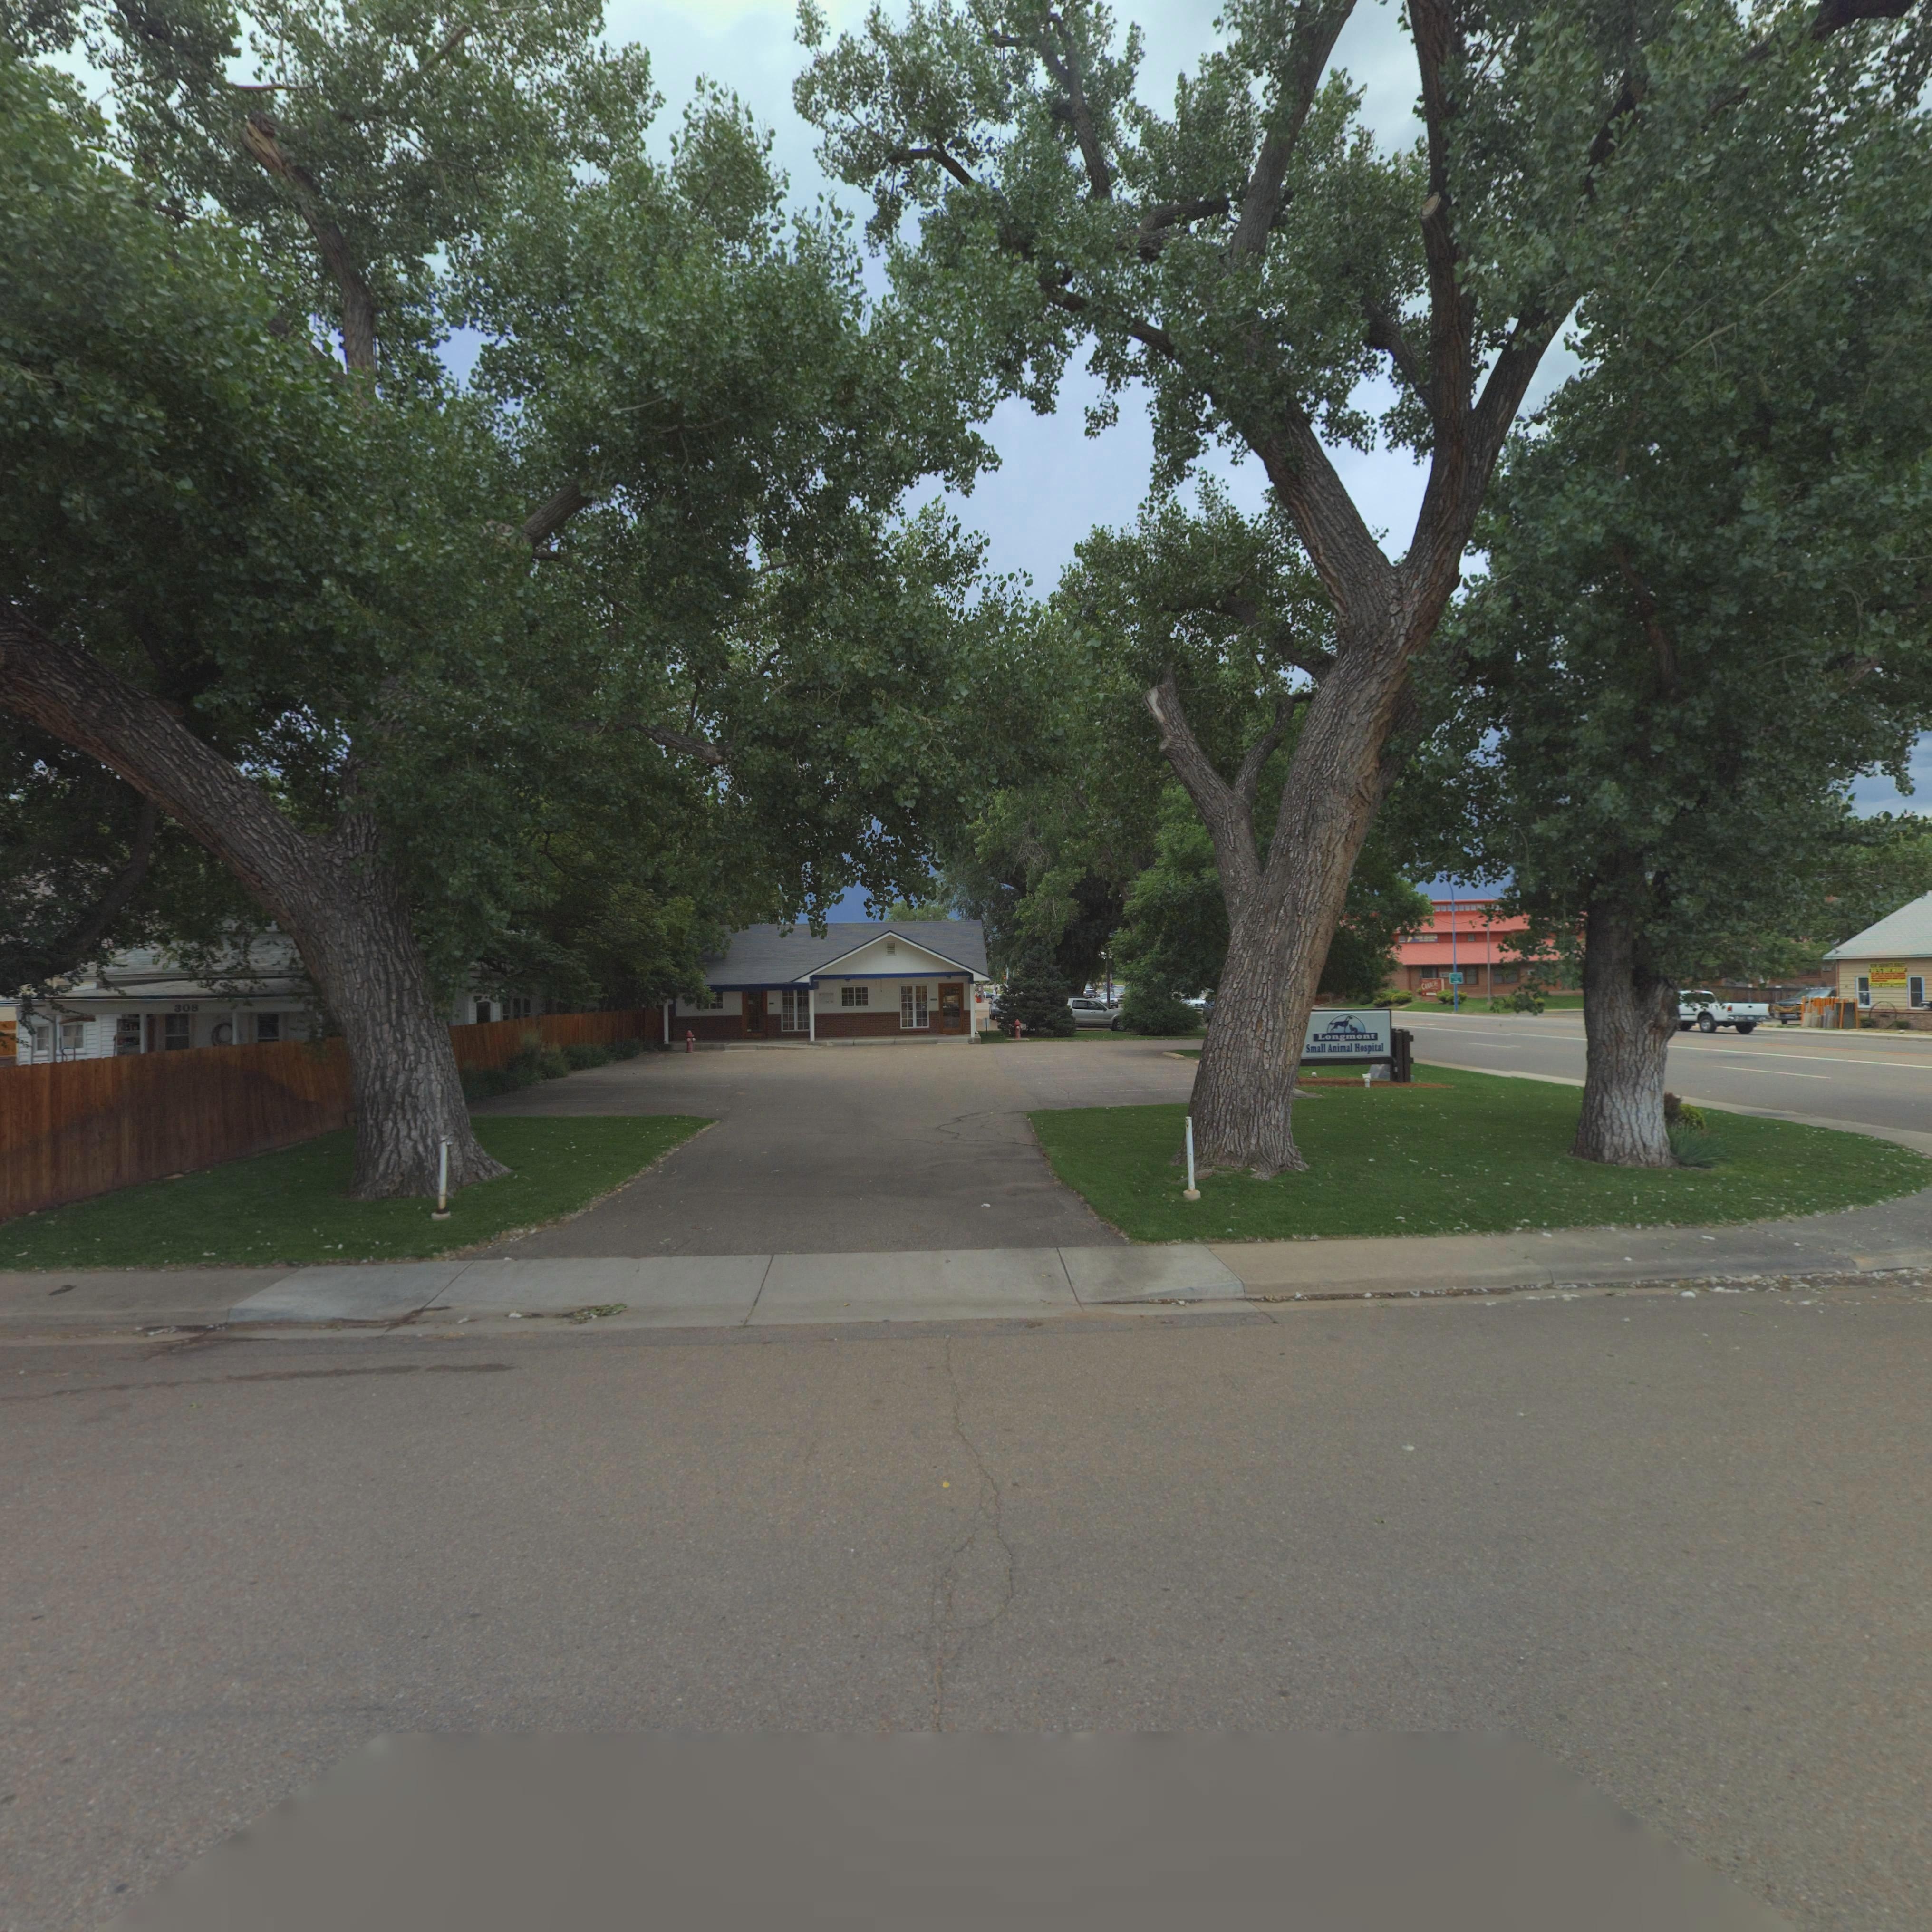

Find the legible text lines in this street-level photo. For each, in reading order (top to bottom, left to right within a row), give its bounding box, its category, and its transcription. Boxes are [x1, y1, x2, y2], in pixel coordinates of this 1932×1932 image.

[1421, 980, 1439, 990] BusinessName: CANNERY
[173, 1003, 199, 1012] StreetNumber: 308
[1317, 1034, 1375, 1041] BusinessName: Longmont
[1305, 1042, 1383, 1054] BusinessName: Small Animal Hospital